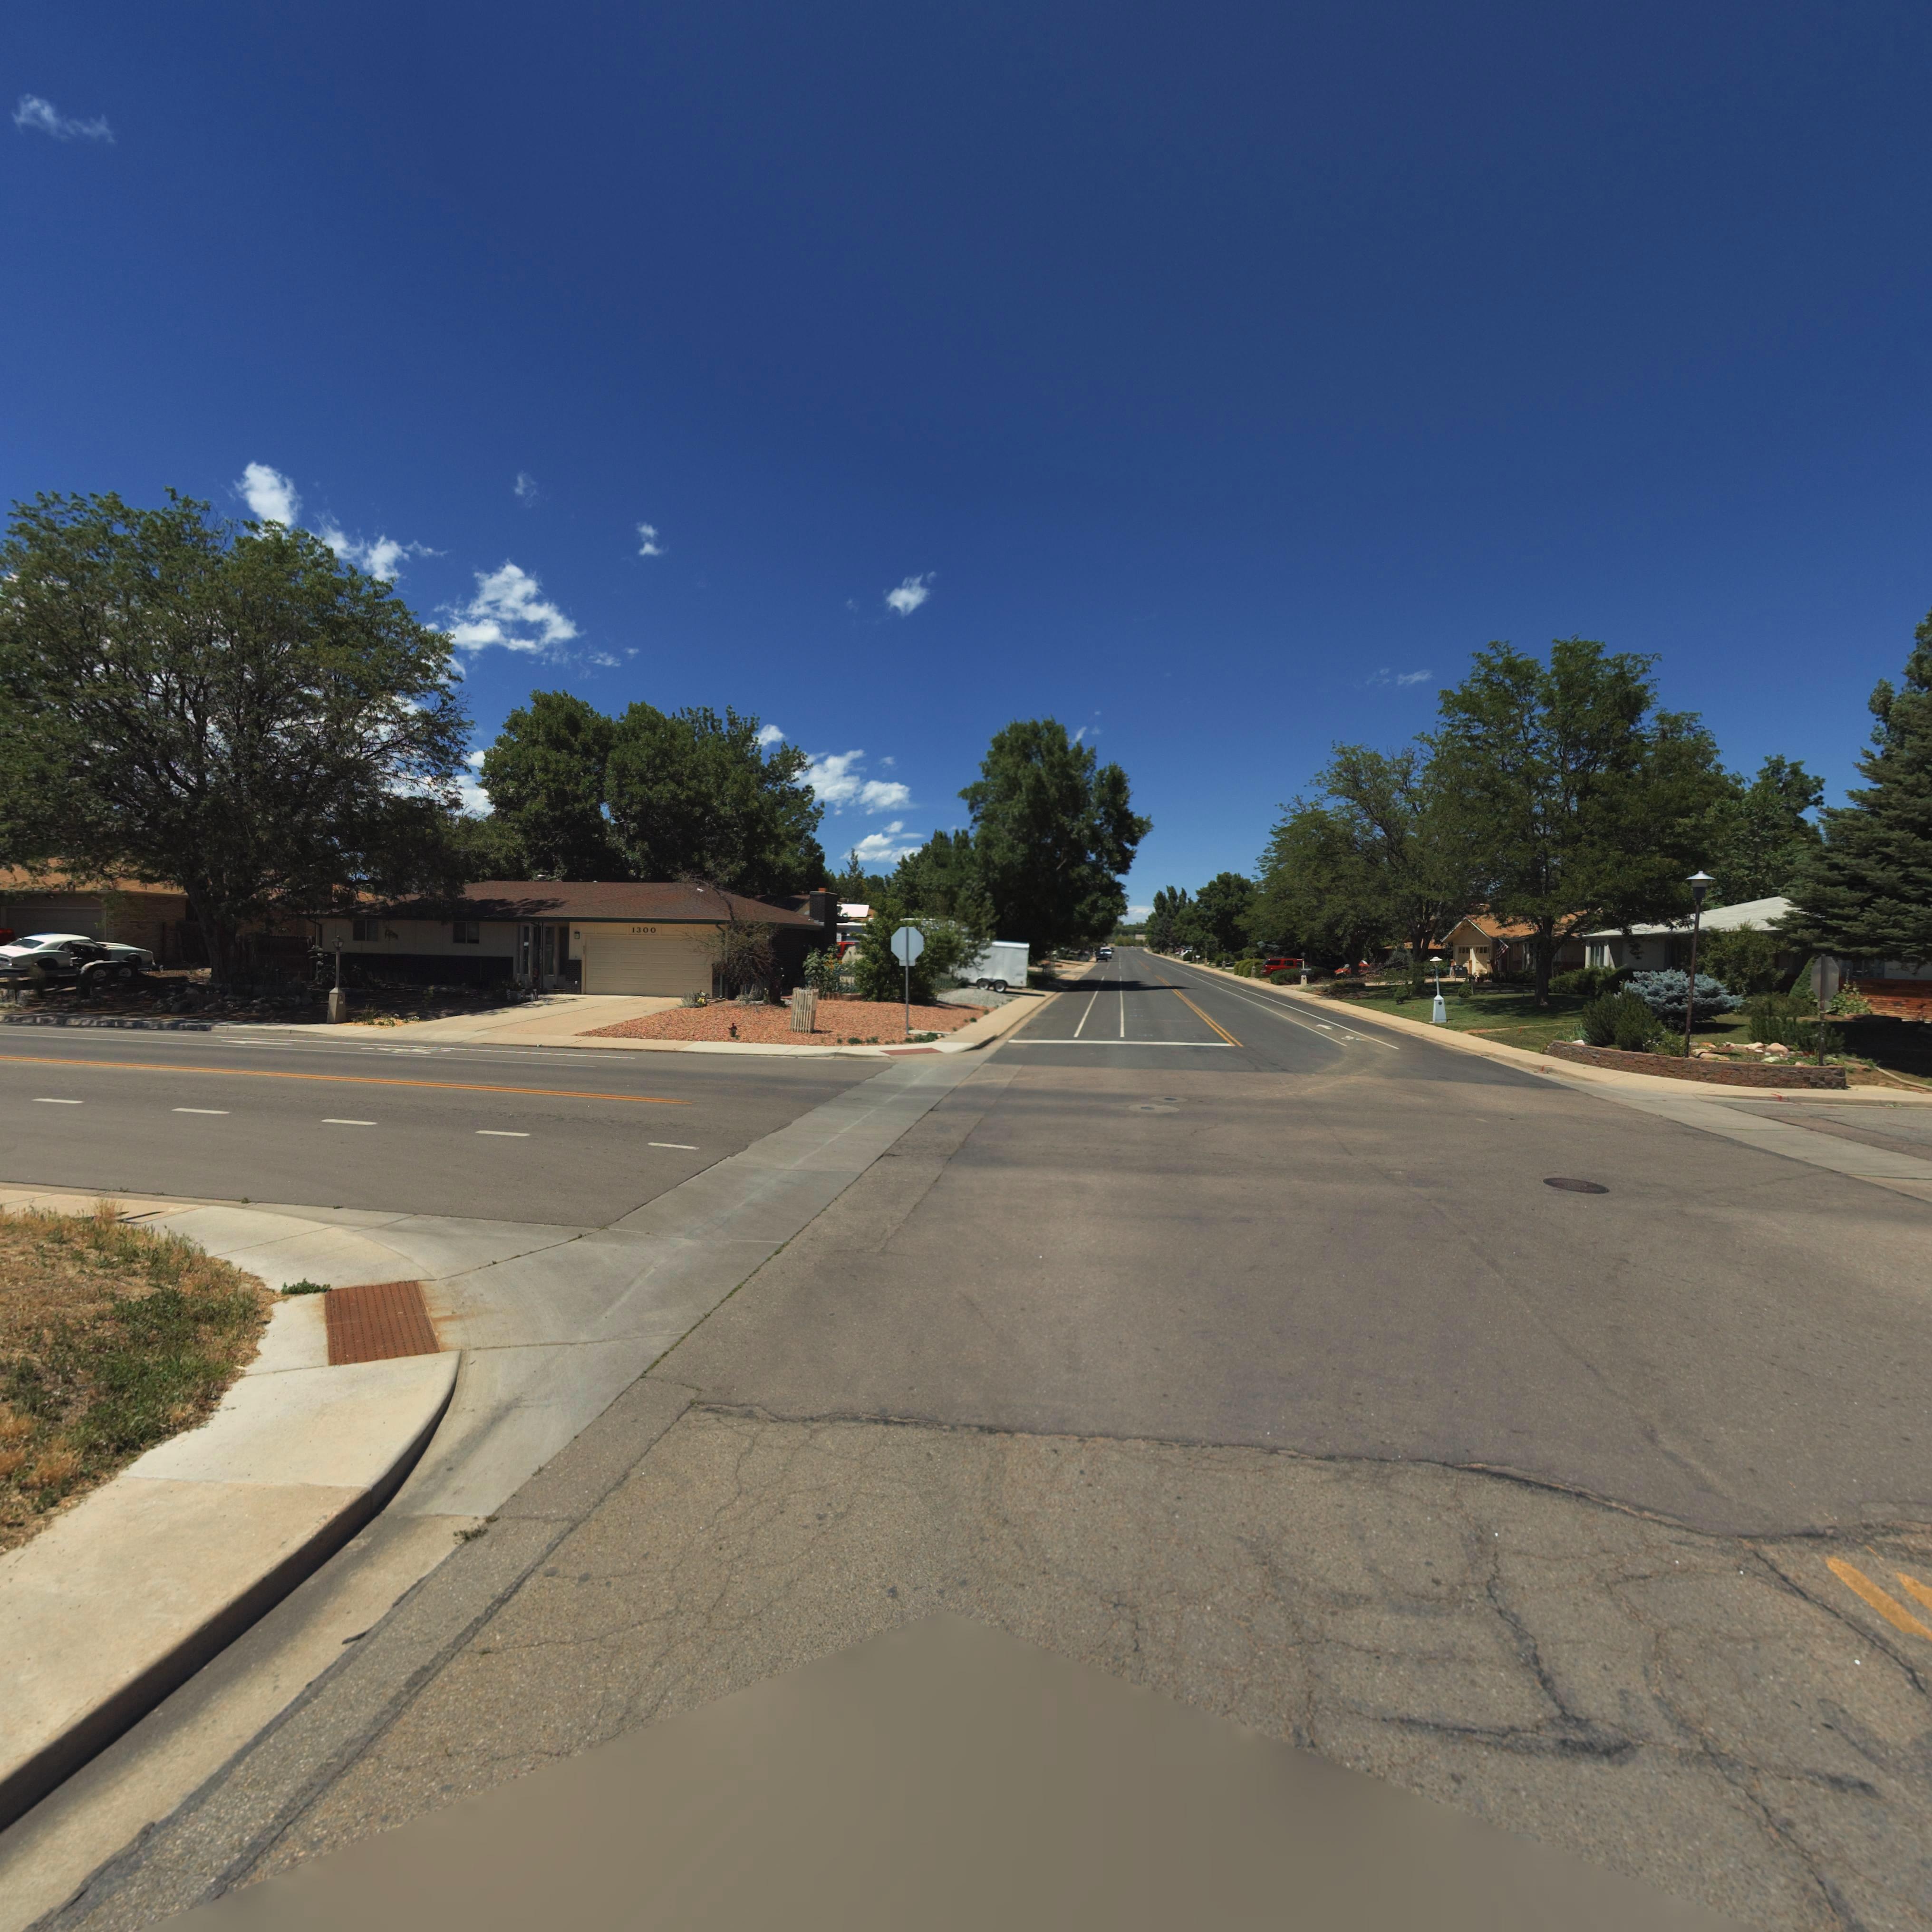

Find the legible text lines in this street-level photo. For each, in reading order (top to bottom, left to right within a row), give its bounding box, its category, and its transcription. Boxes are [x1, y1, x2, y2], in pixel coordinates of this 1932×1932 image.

[632, 927, 657, 933] StreetNumber: 1300